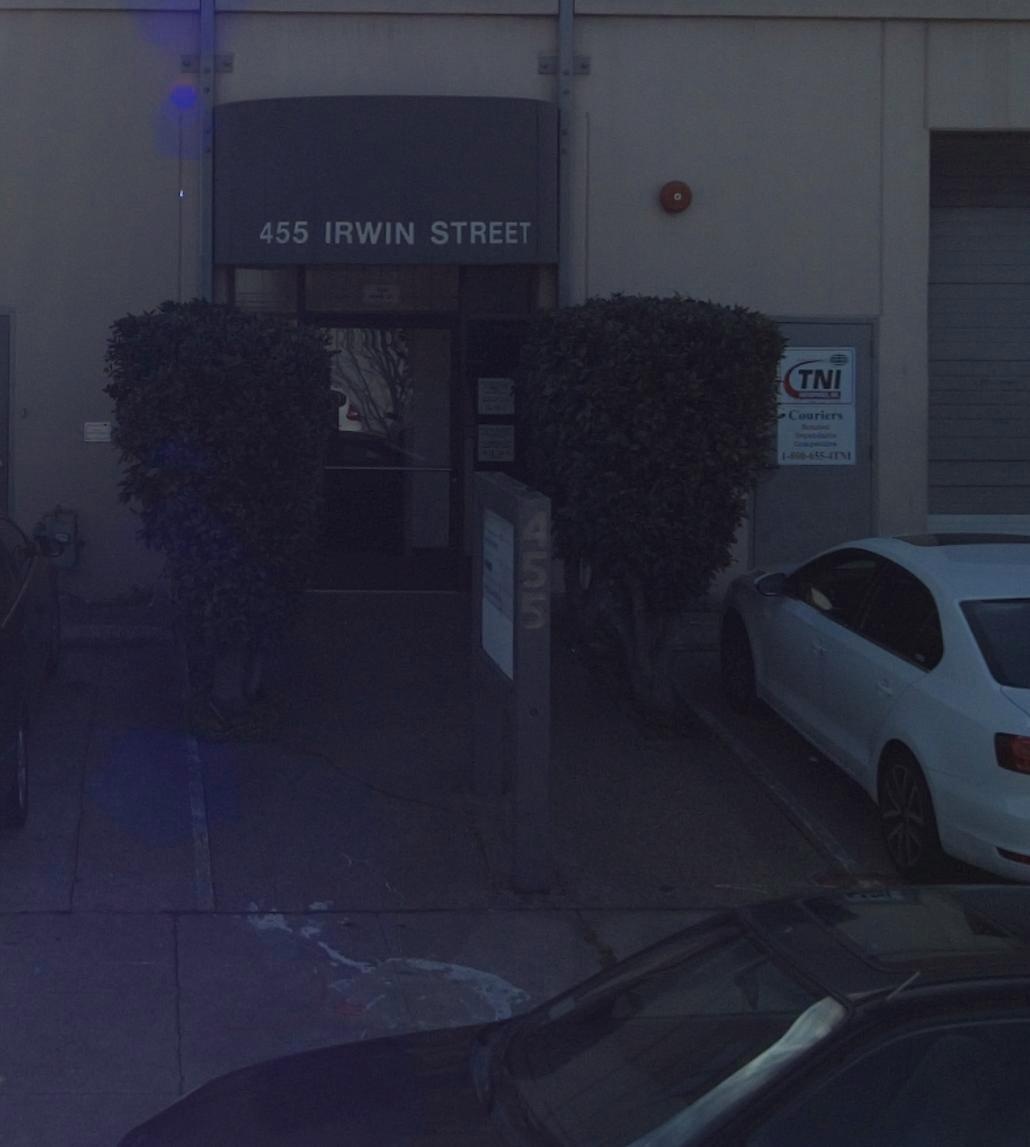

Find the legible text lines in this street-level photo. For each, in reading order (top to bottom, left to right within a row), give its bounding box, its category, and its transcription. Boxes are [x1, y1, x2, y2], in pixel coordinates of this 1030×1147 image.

[257, 219, 311, 247] StreetNumber: 455
[322, 217, 535, 249] StreetName: IRWIN STREET
[793, 366, 845, 392] None: TNI
[785, 407, 845, 423] None: Couriers
[519, 508, 552, 632] StreetNumber: 455